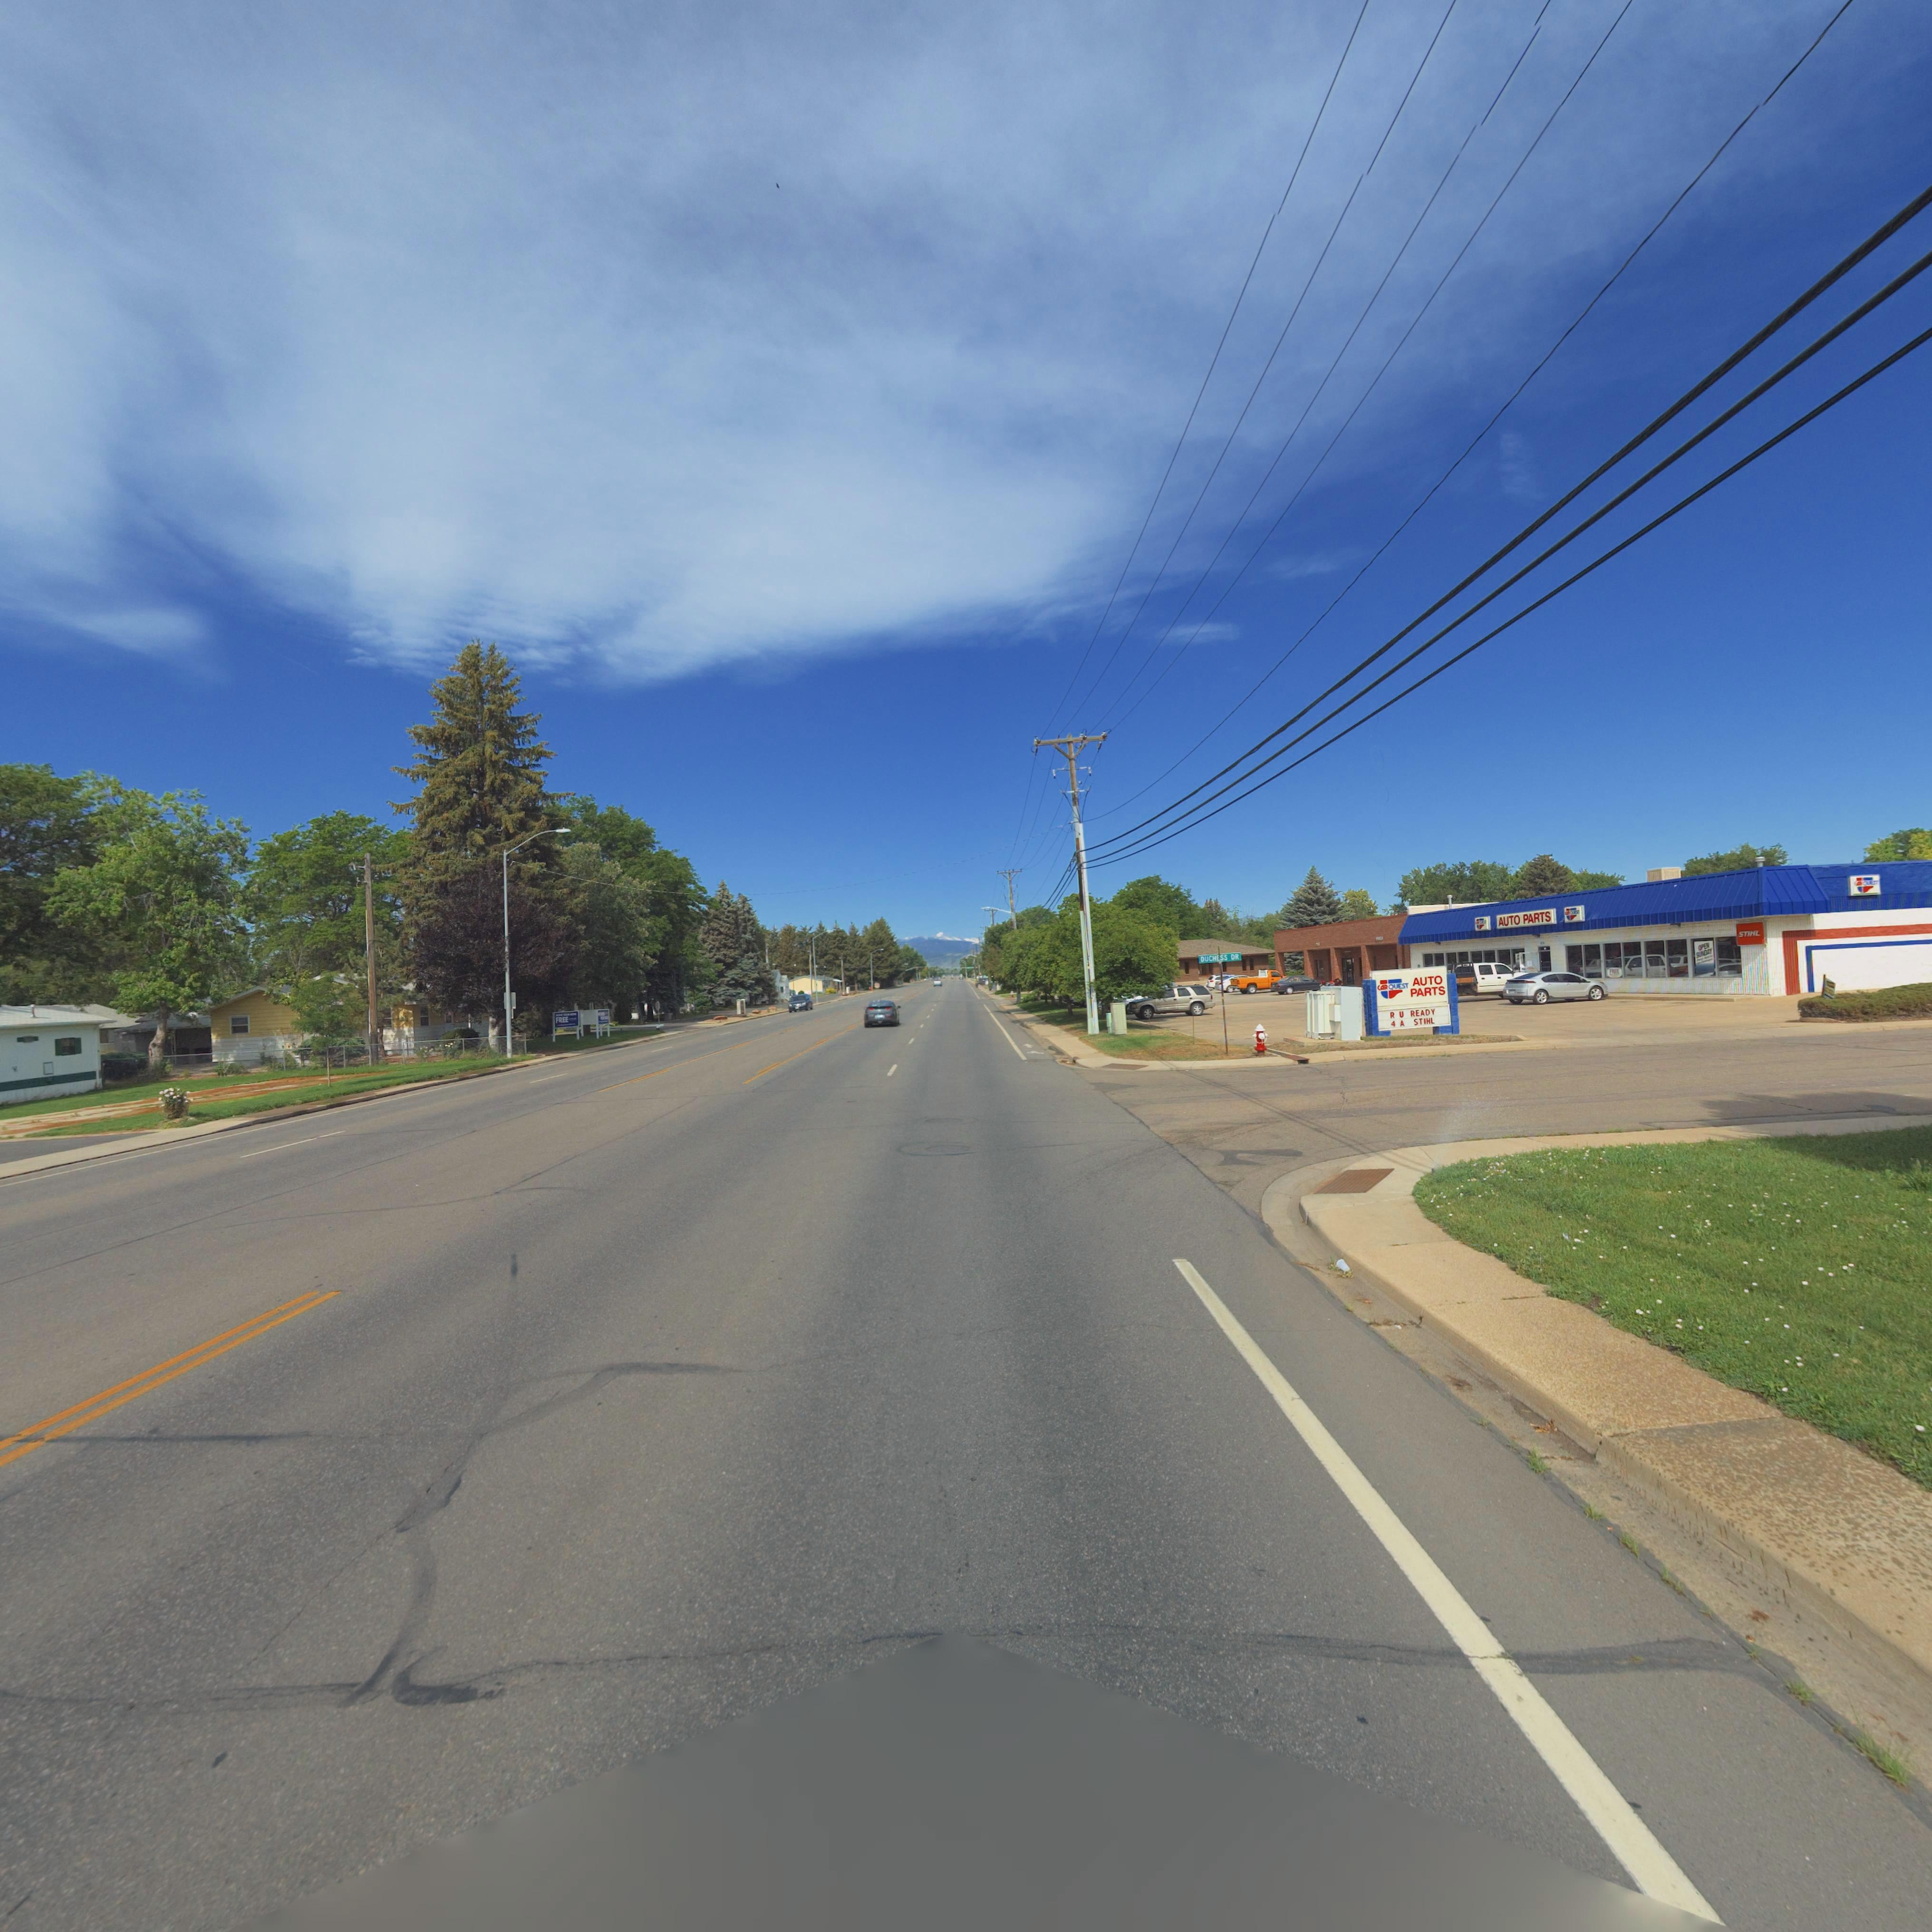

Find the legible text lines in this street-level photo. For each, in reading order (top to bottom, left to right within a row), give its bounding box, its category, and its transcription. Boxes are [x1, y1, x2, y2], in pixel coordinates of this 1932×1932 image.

[1853, 879, 1879, 886] BusinessName: C**QU**T
[1497, 910, 1551, 927] BusinessName: AUTO PARTS
[1200, 953, 1239, 962] StreetName: DUCHESS DR
[1377, 982, 1409, 991] BusinessName: CAR QUEST
[1412, 975, 1443, 986] BusinessName: AUTO
[1410, 985, 1446, 997] BusinessName: PARTS